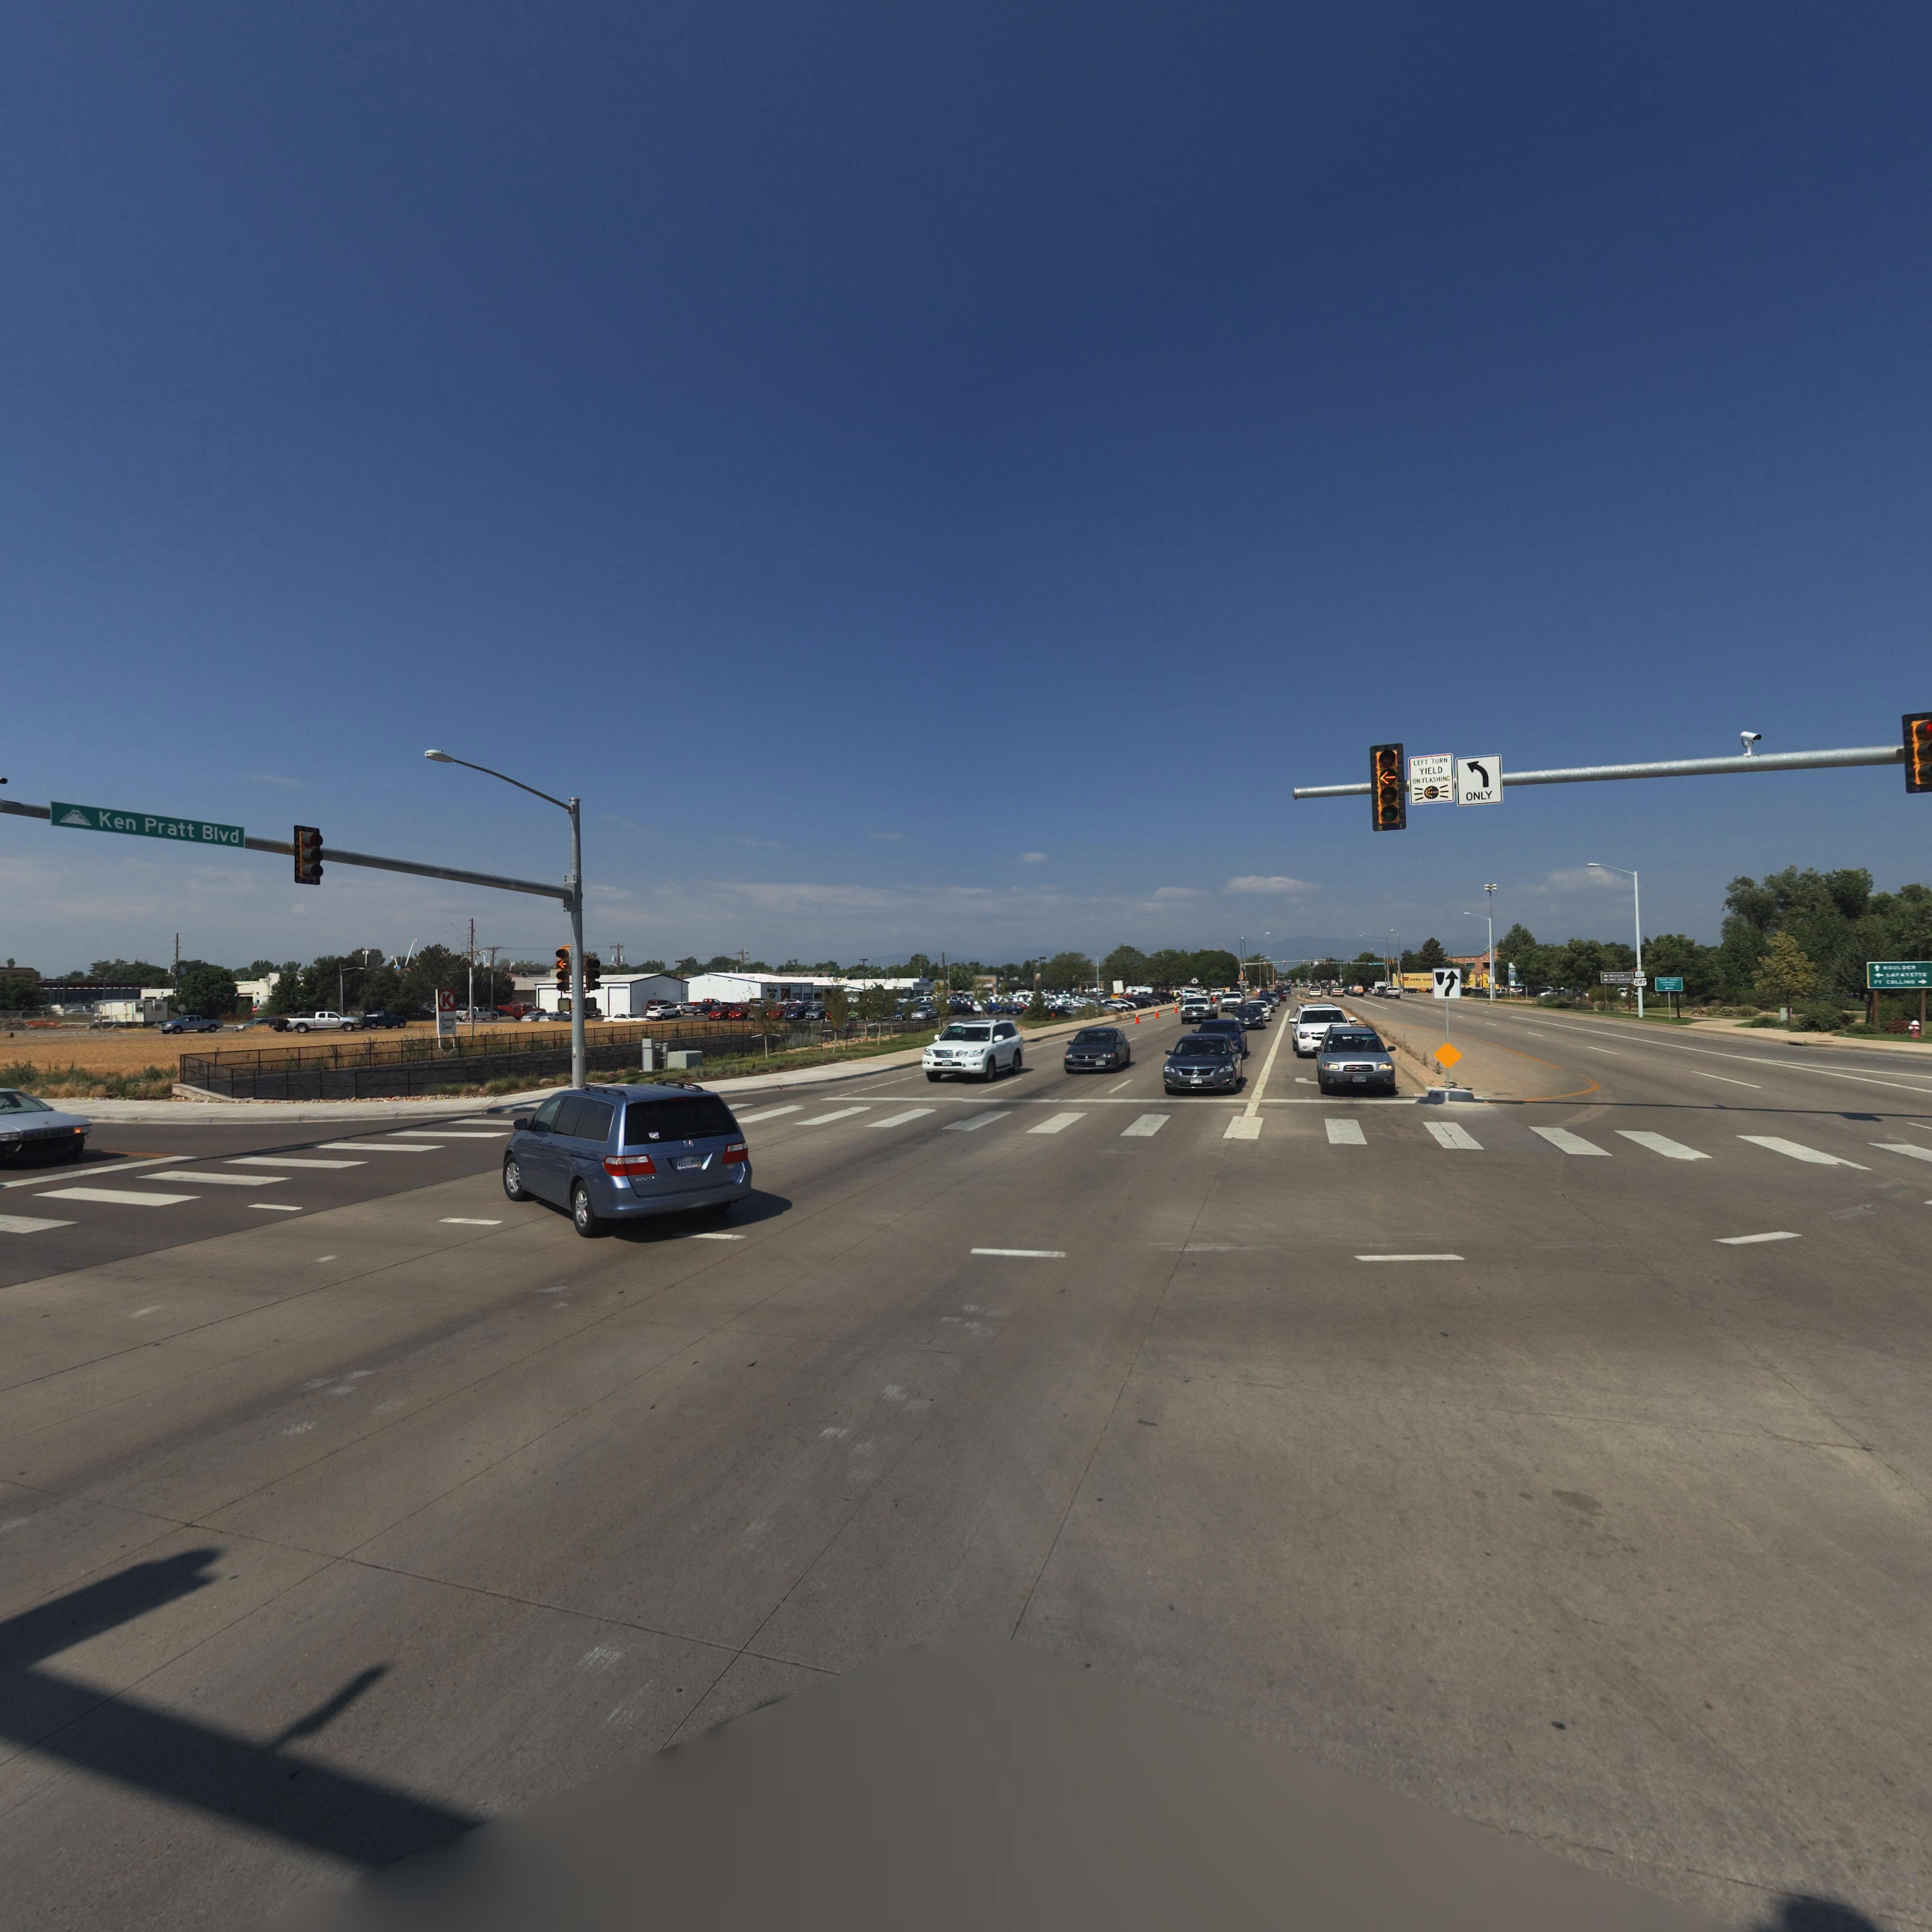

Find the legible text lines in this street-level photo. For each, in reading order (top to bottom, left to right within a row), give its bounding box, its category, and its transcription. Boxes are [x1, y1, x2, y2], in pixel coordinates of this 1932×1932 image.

[98, 811, 239, 844] StreetName: Ken Pratt Blvd